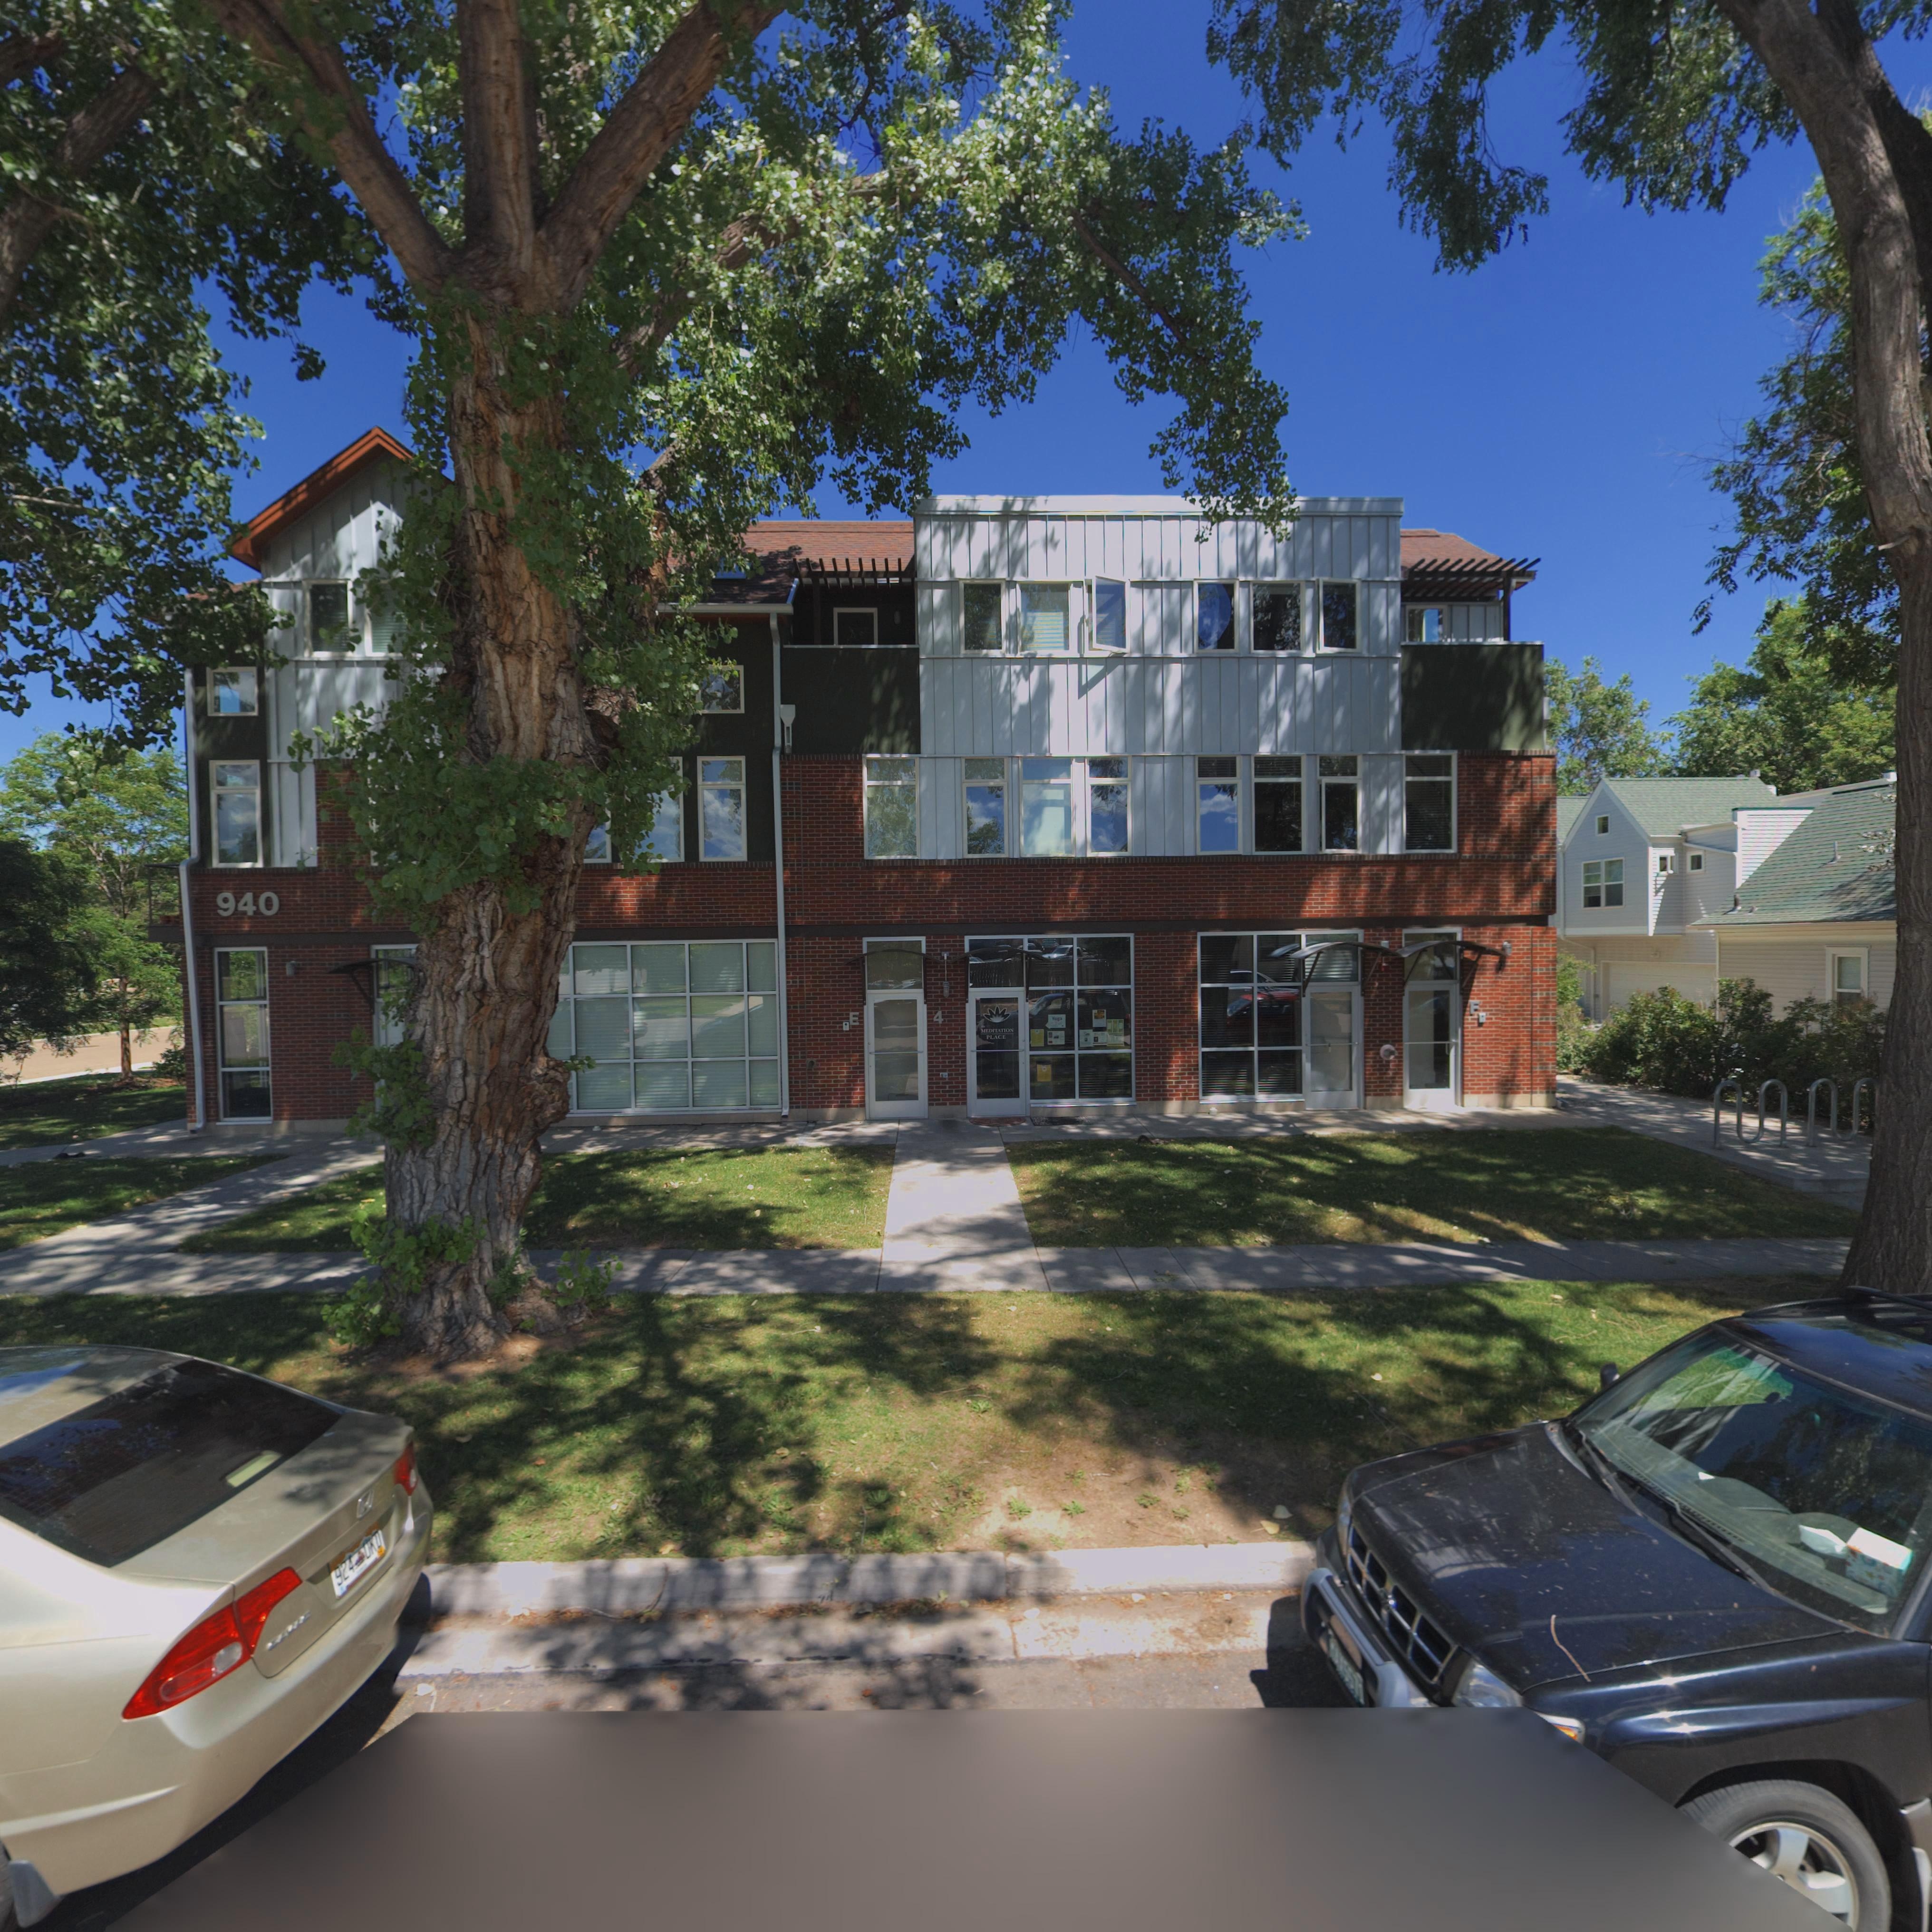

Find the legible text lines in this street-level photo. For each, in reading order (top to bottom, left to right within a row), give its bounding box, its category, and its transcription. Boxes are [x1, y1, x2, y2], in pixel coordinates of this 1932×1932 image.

[215, 891, 280, 917] StreetNumber: 940
[980, 1027, 1014, 1033] BusinessName: MEDITATION
[985, 1034, 1005, 1039] BusinessName: PLACE